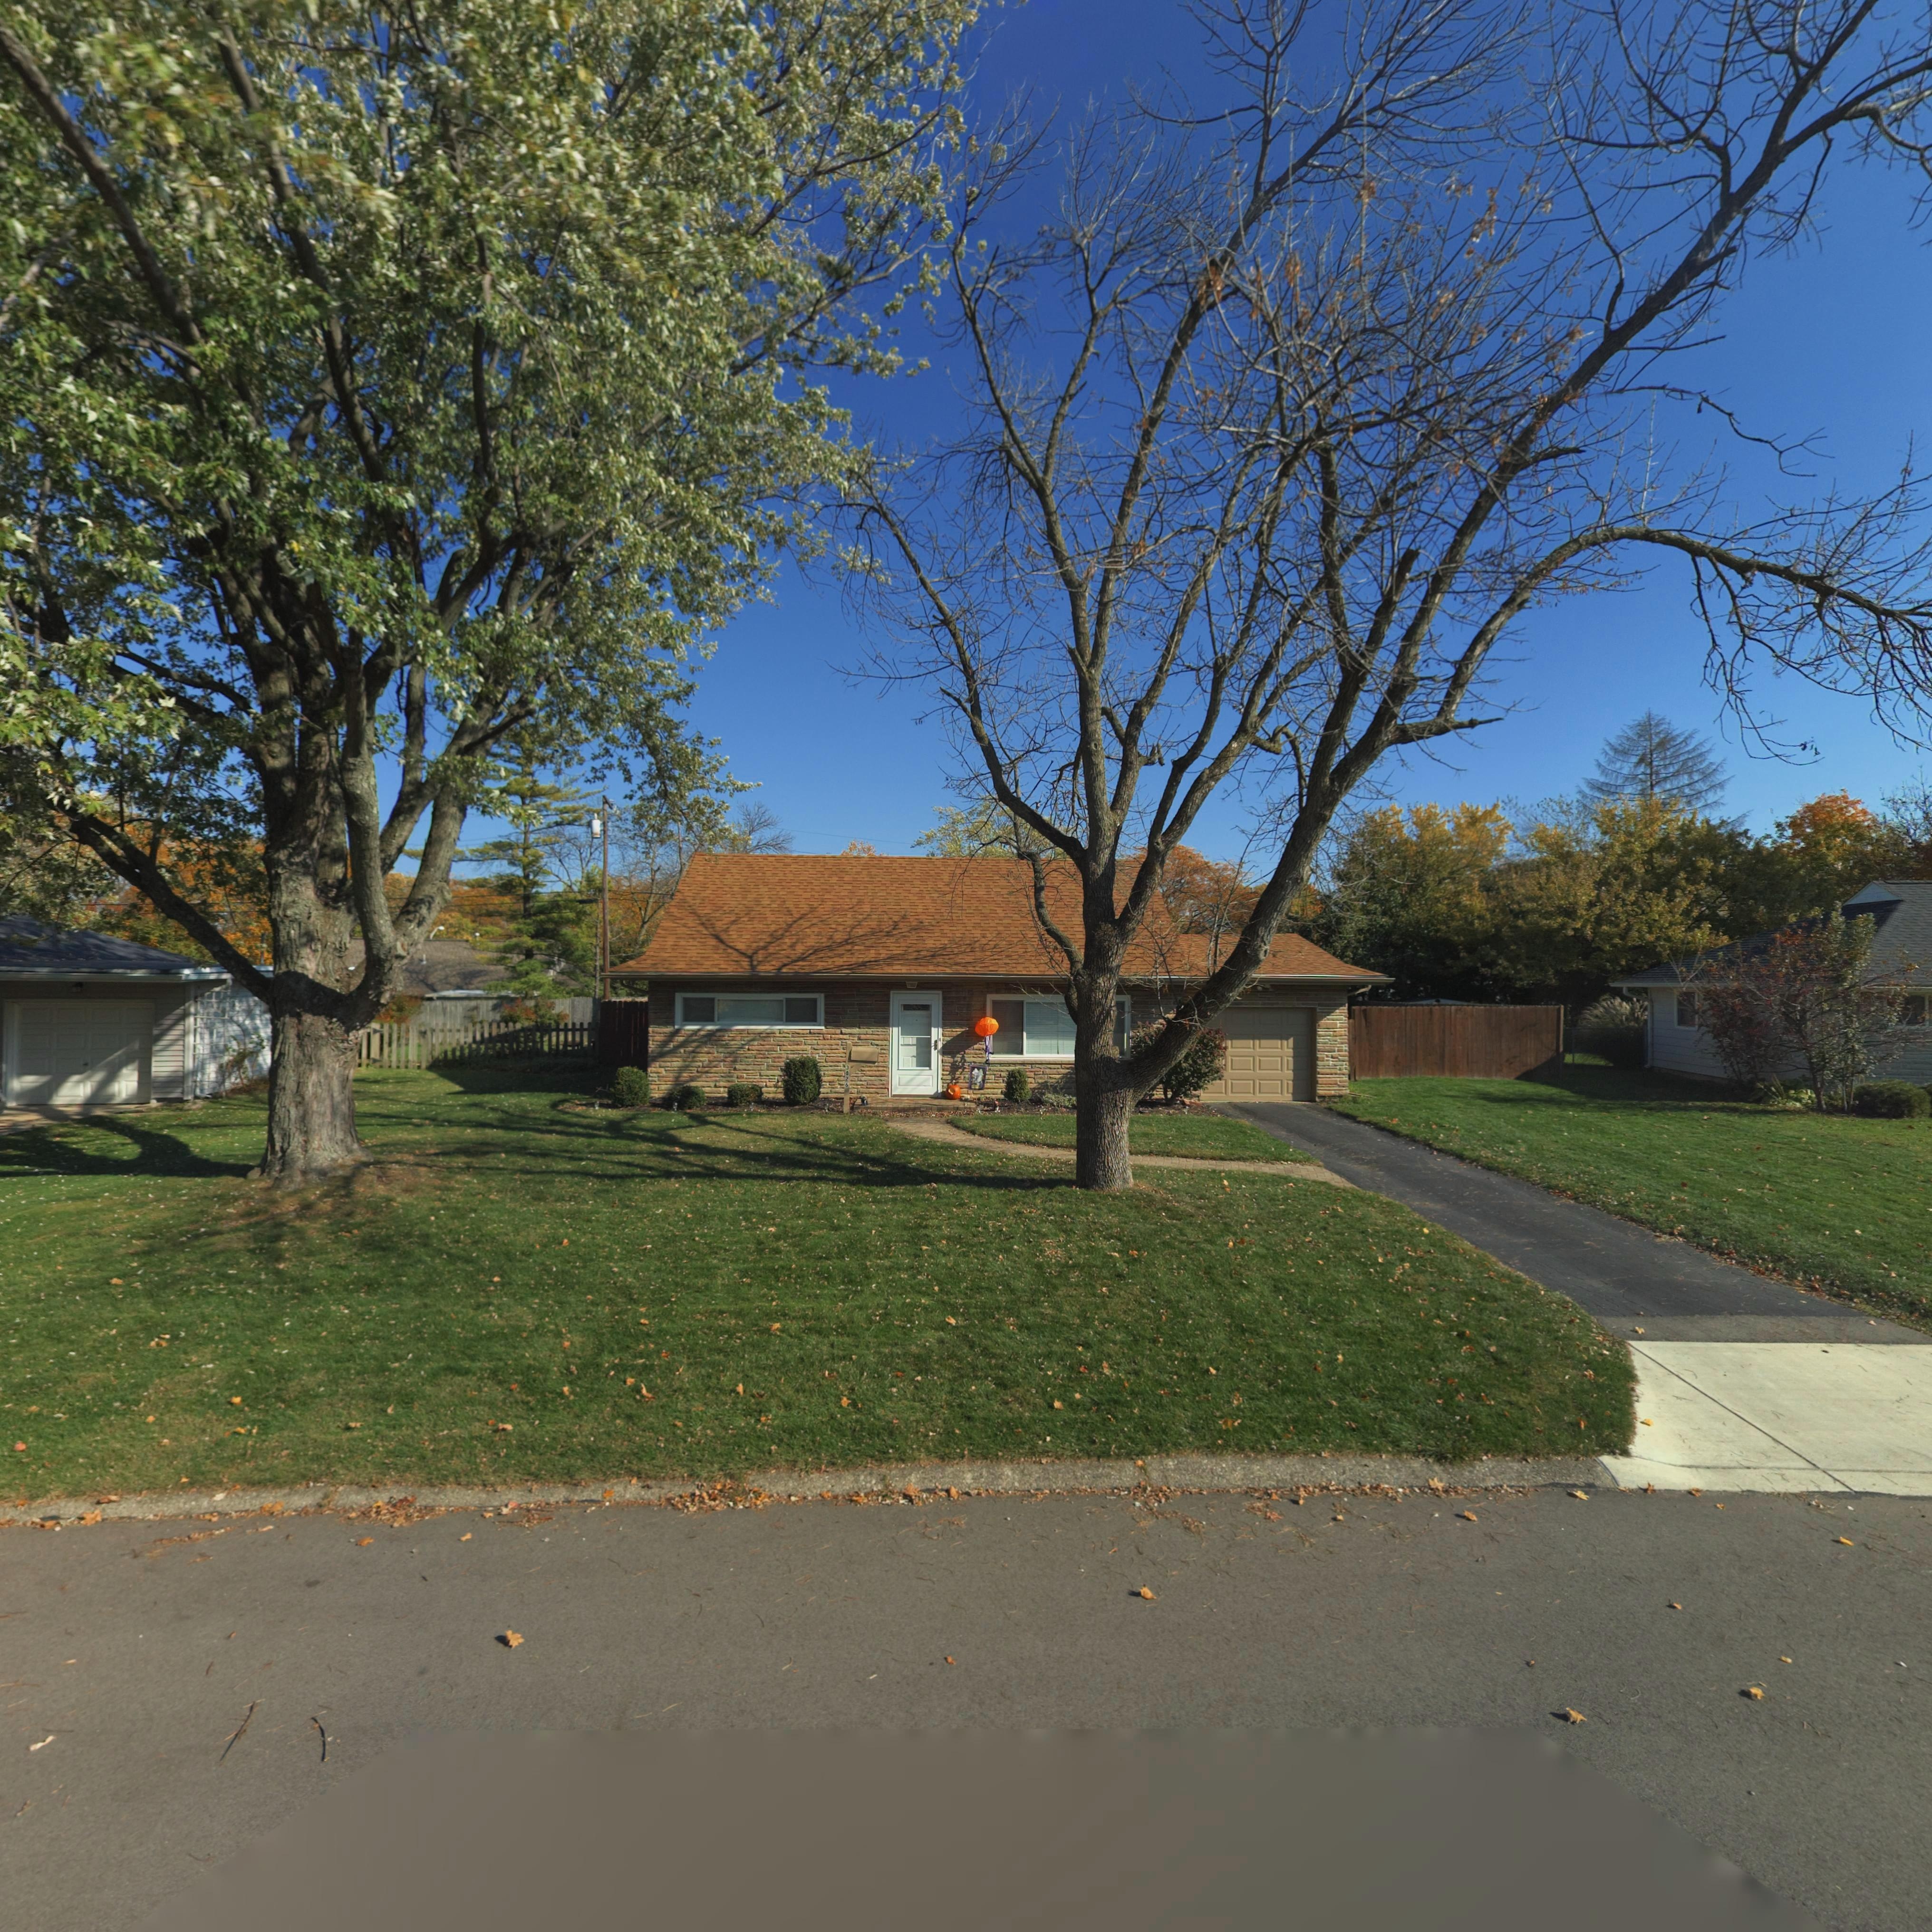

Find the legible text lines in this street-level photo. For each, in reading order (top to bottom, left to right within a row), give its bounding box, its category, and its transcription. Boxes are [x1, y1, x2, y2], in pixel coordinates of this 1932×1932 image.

[844, 1064, 850, 1088] StreetNumber: 3826